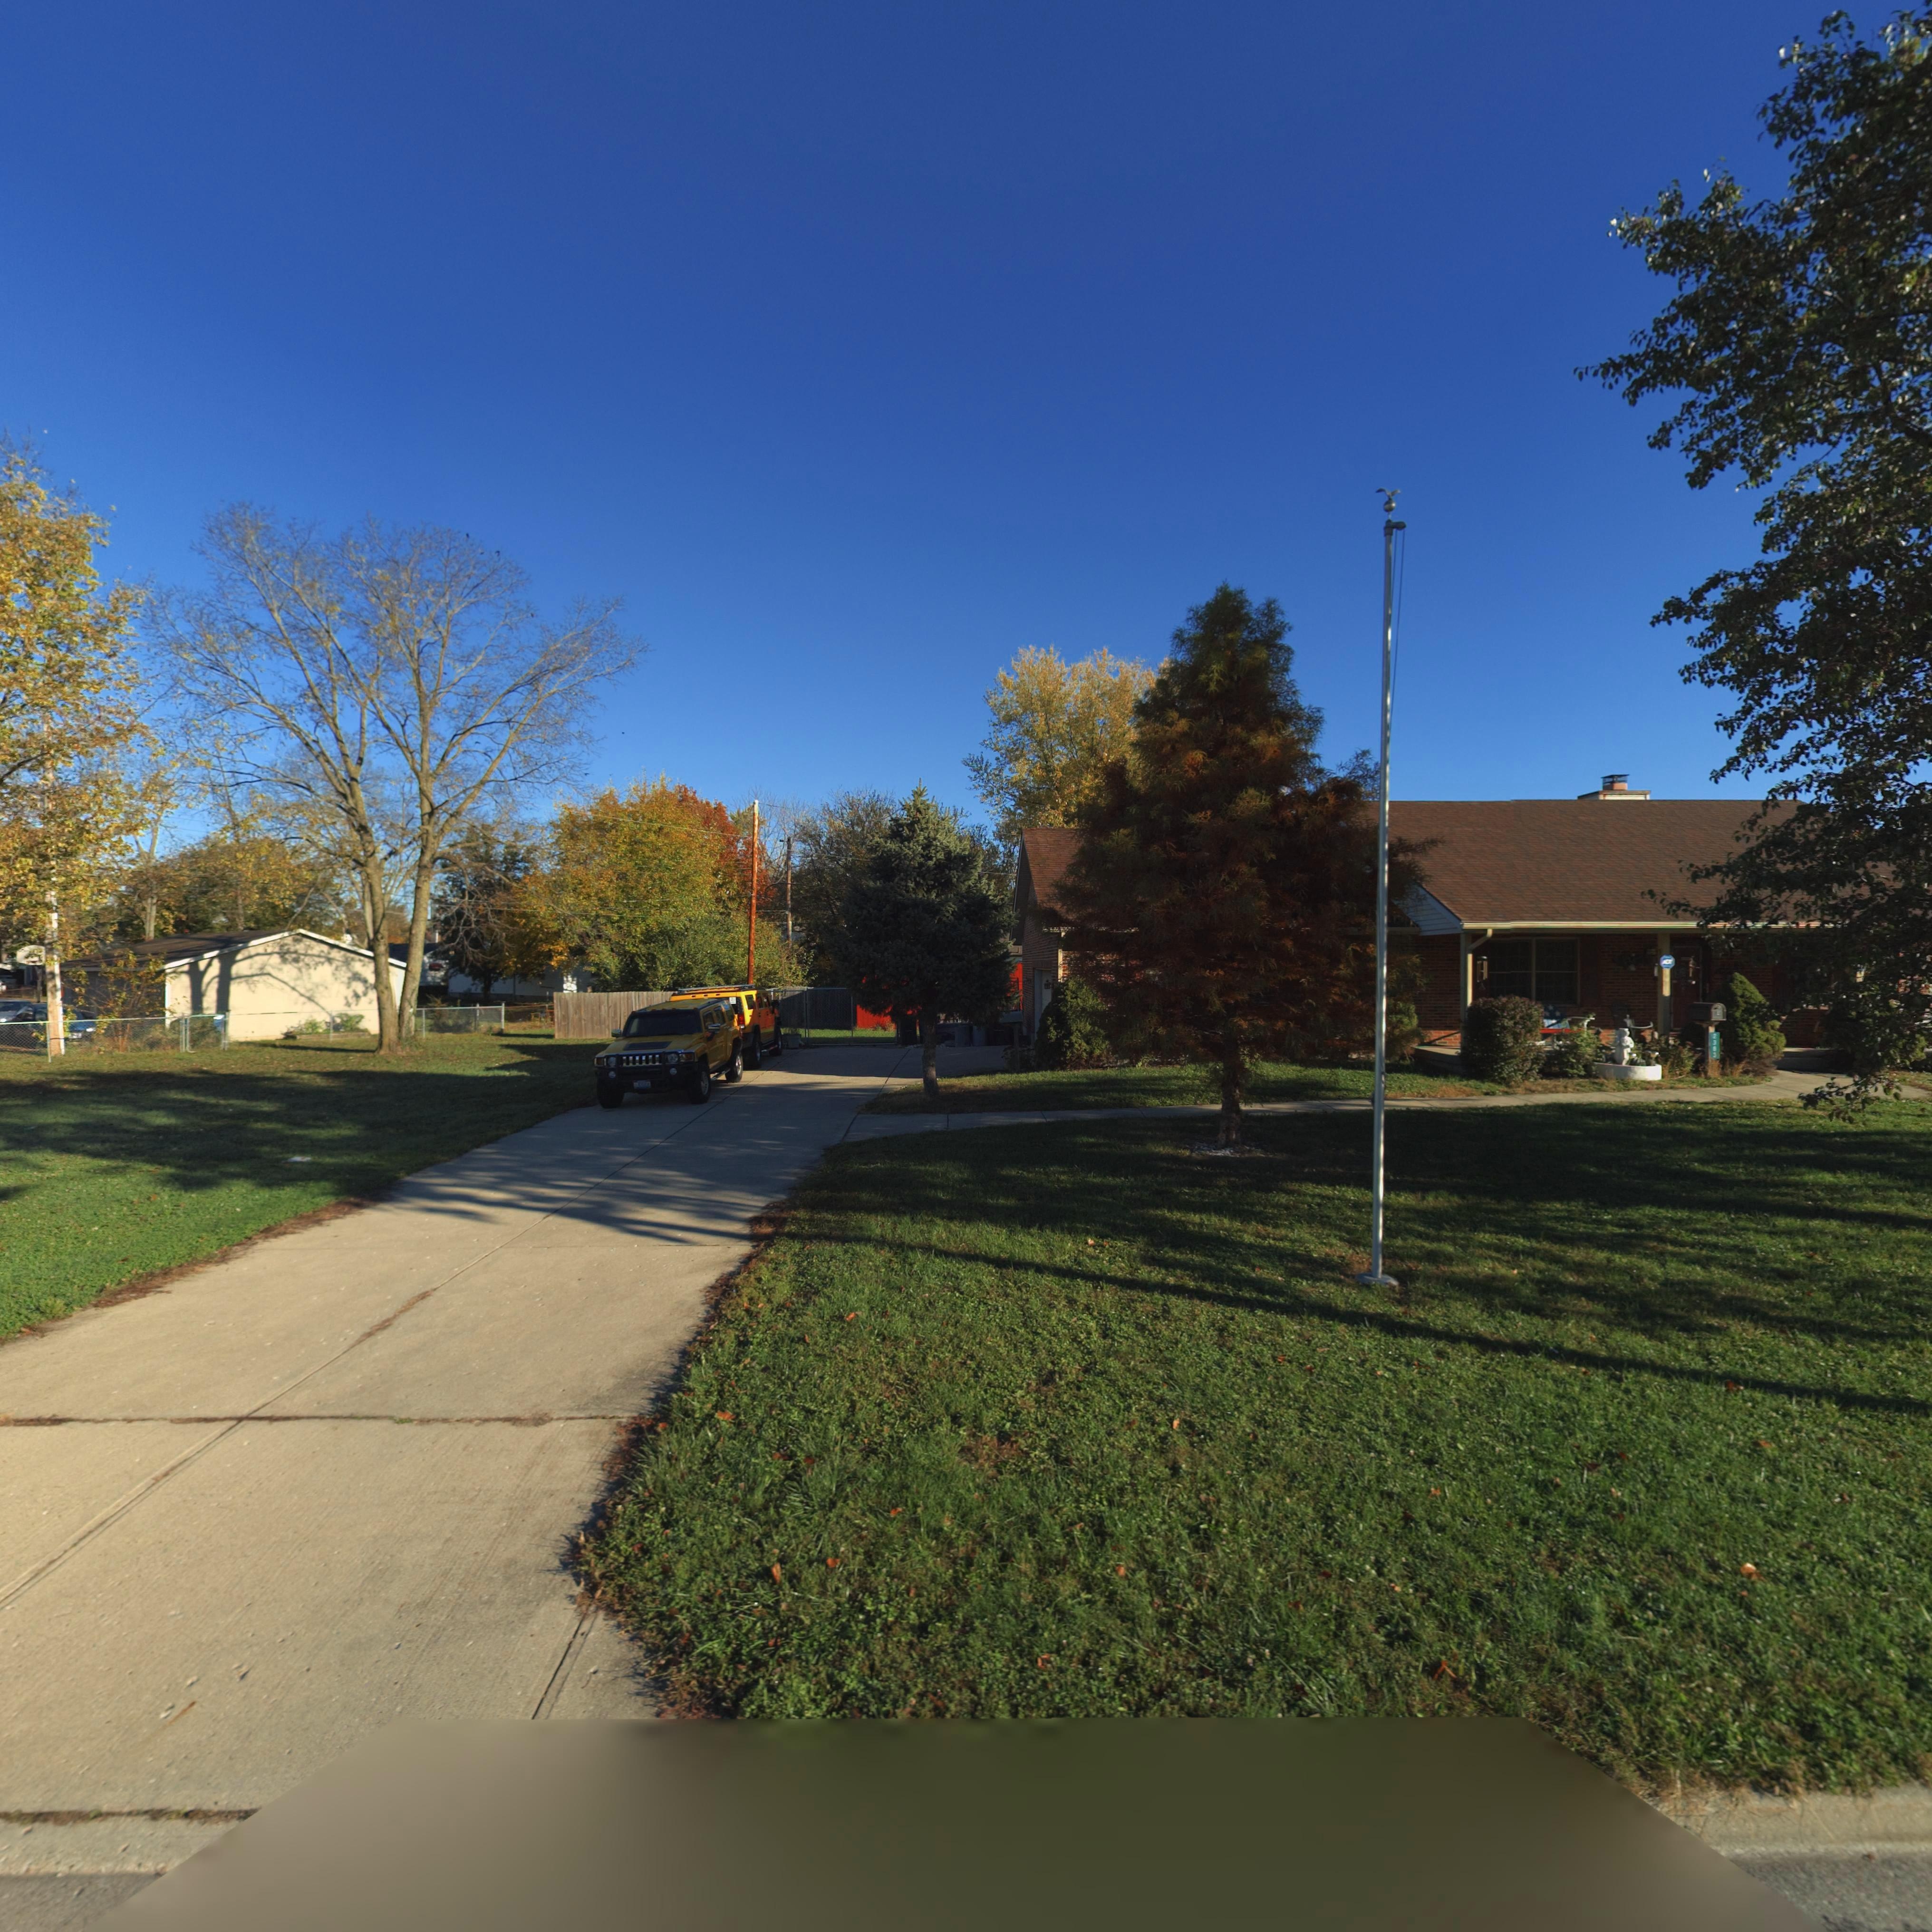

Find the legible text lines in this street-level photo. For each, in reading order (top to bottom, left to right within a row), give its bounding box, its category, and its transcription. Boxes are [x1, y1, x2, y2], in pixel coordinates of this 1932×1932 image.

[1712, 1033, 1718, 1059] StreetNumber: **83